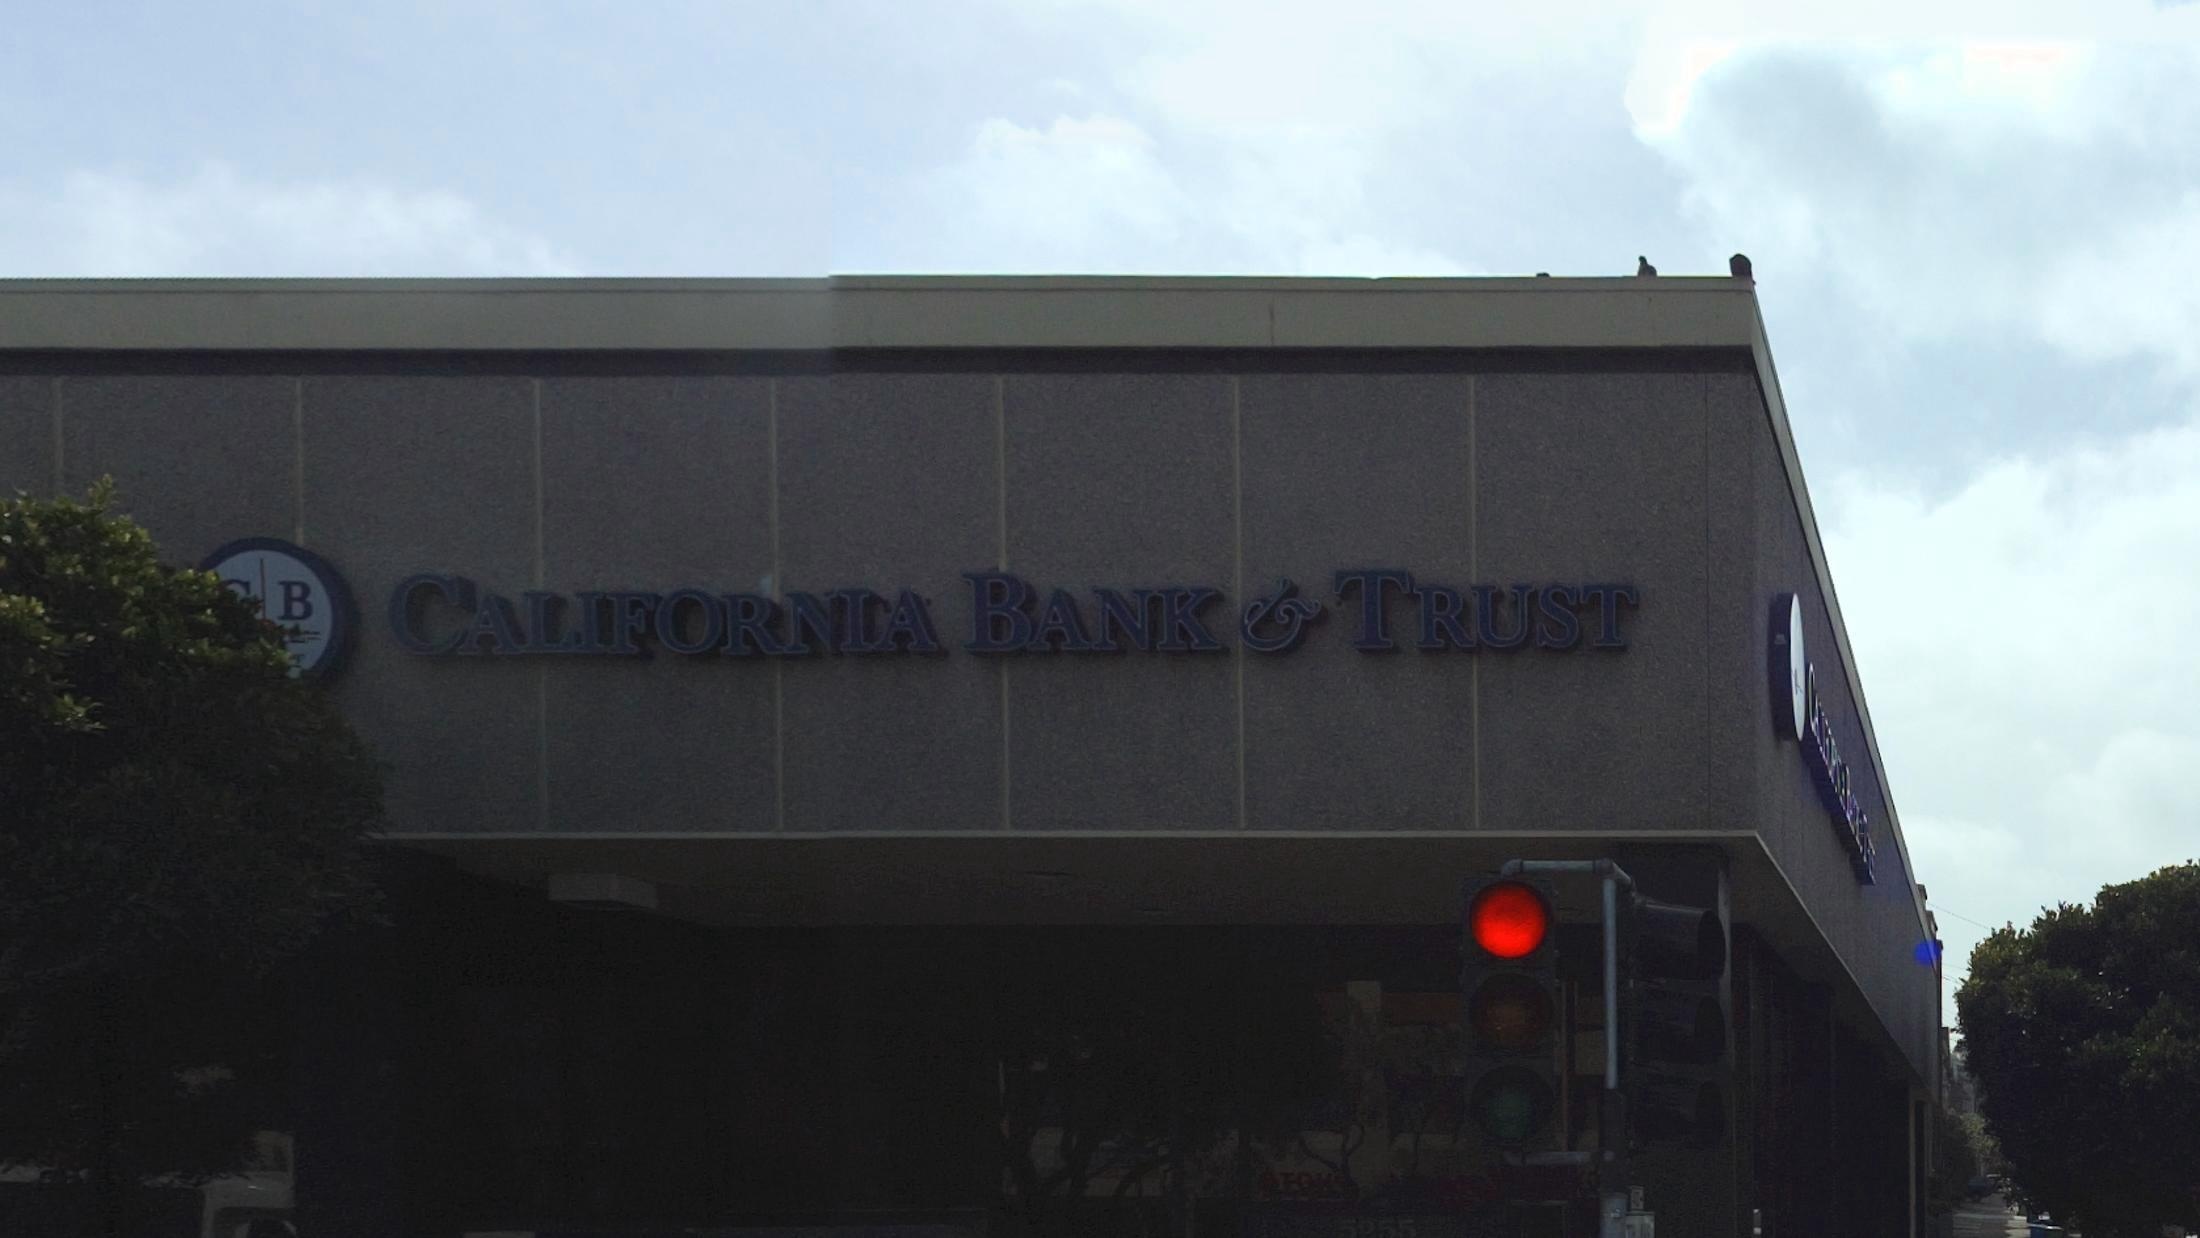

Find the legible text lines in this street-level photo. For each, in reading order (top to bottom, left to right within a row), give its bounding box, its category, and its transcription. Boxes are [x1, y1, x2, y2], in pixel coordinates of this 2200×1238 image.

[273, 575, 314, 626] None: B
[385, 567, 1638, 657] BusinessName: CALIFORNIA BANK & TRUST